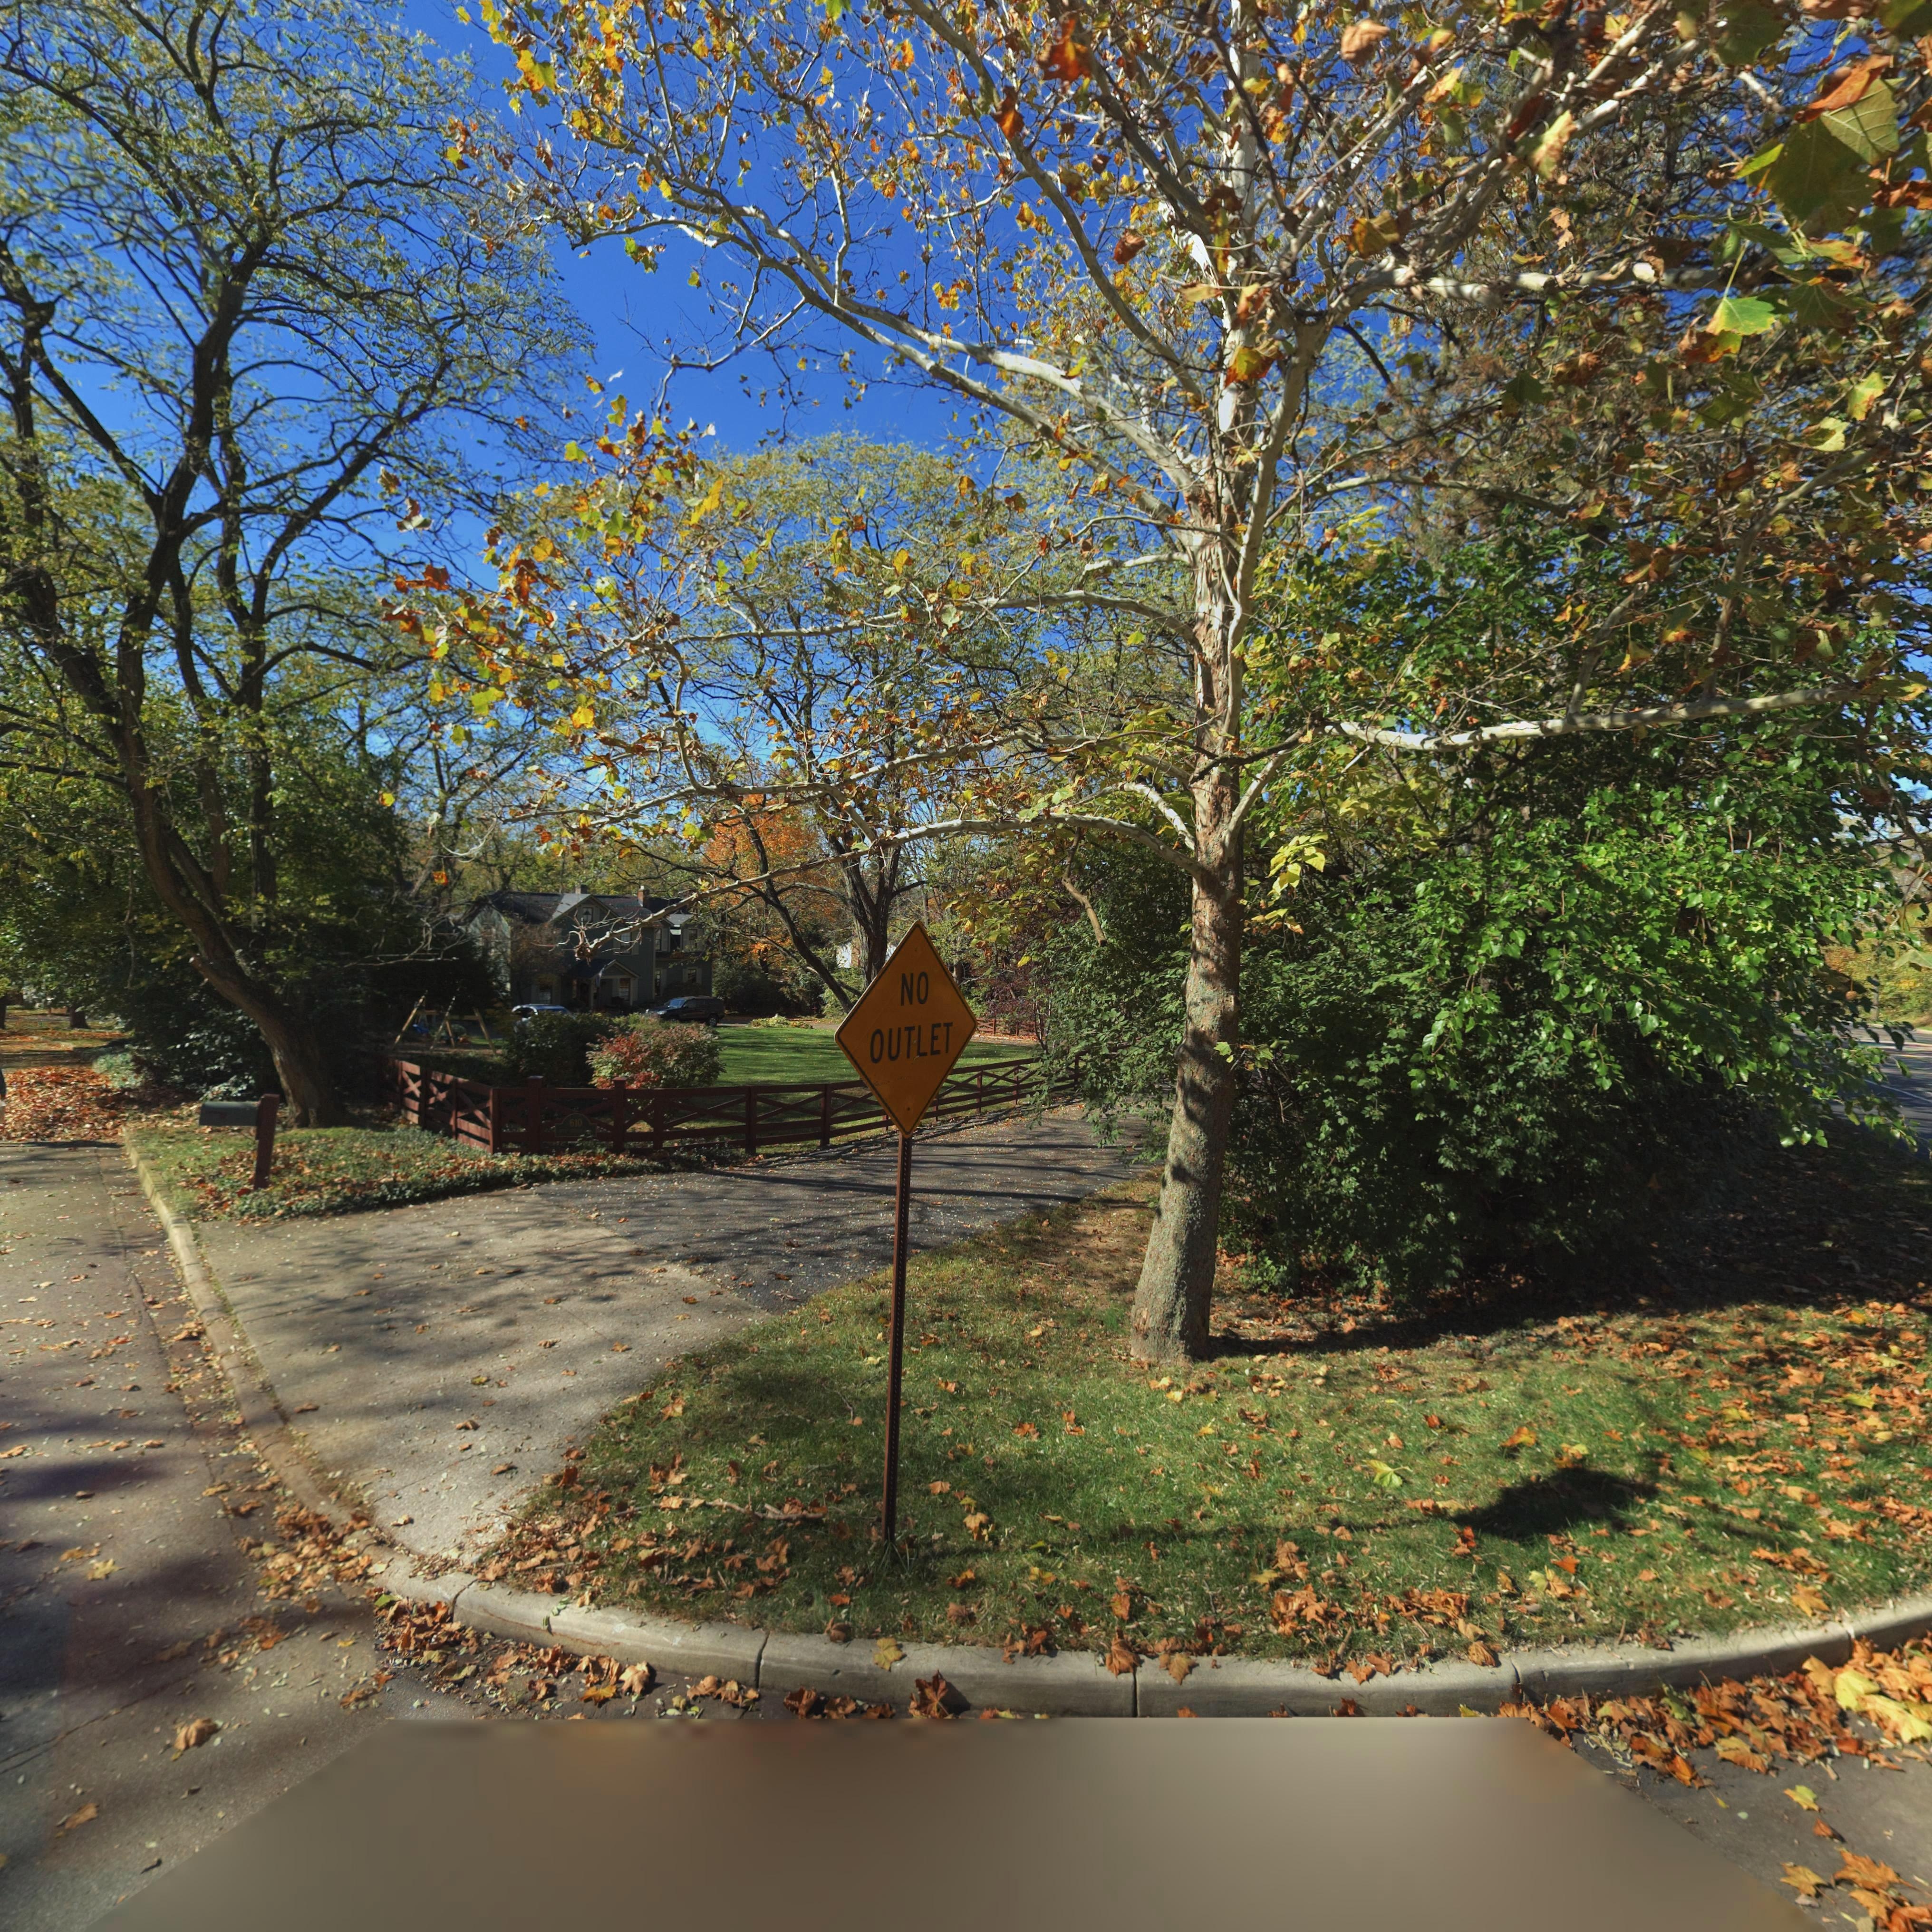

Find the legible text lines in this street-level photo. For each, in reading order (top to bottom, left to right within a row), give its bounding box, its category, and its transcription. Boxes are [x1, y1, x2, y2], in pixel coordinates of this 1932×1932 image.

[569, 1118, 583, 1128] StreetNumber: 610